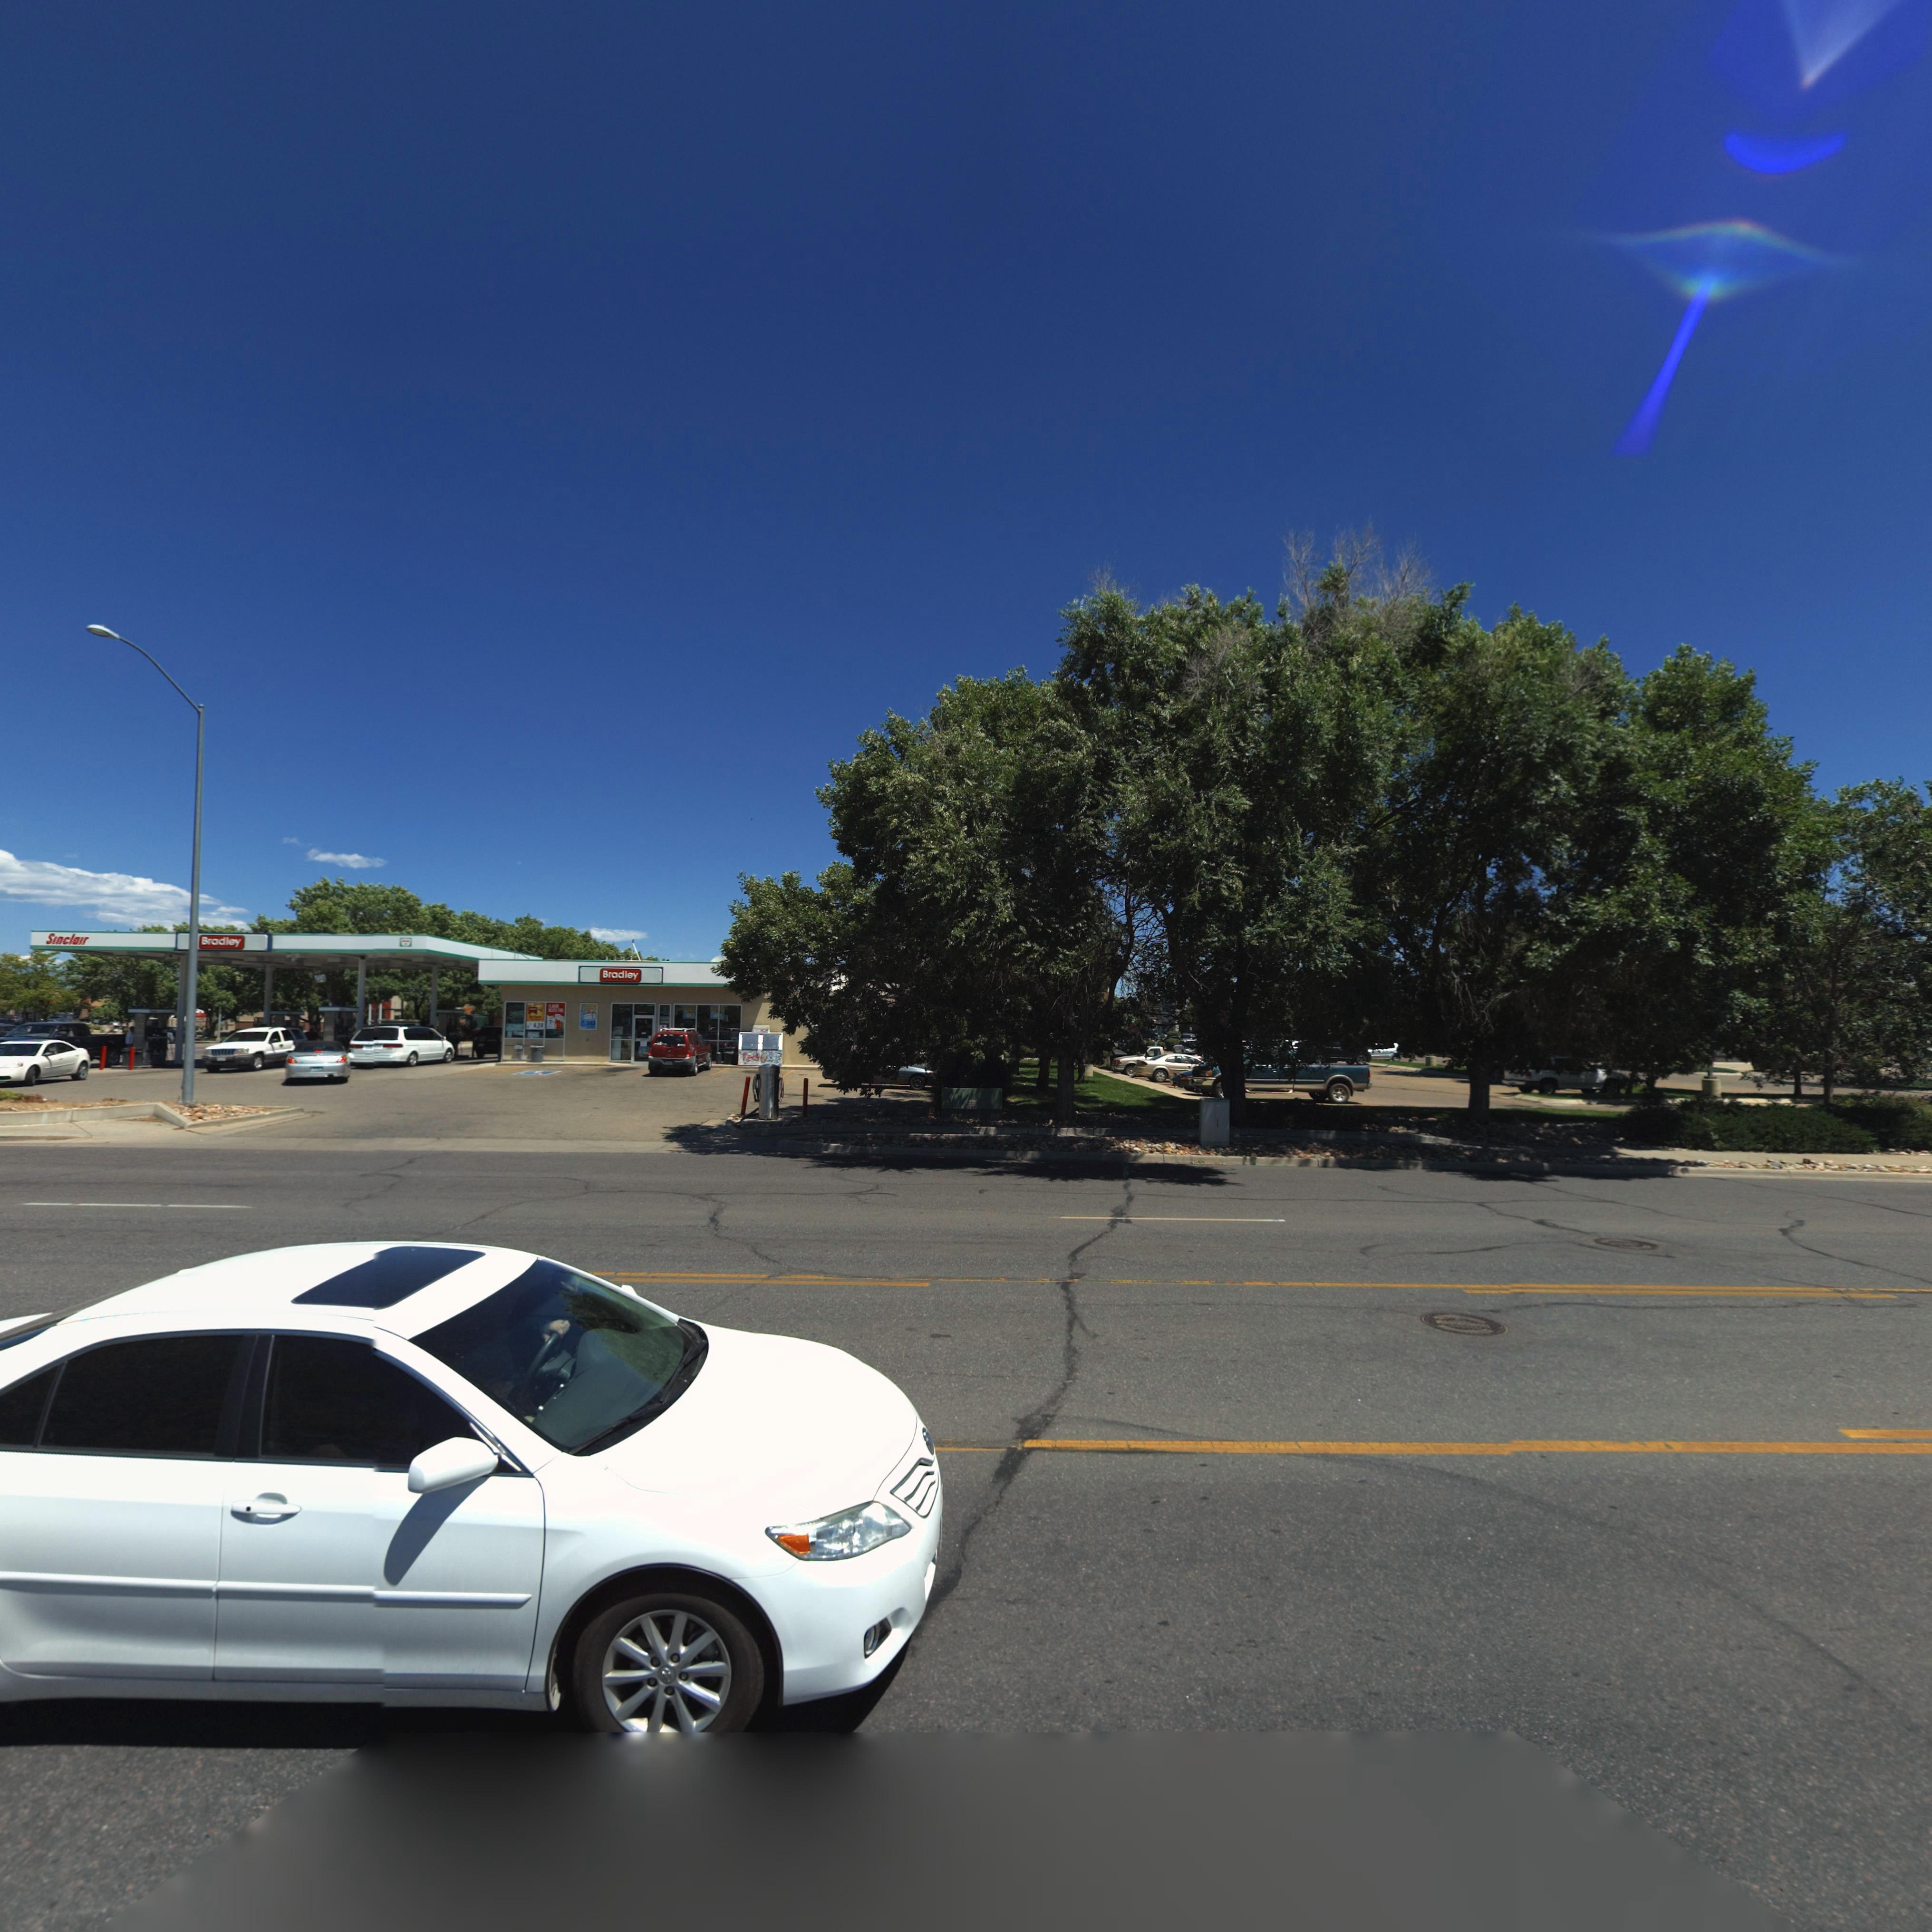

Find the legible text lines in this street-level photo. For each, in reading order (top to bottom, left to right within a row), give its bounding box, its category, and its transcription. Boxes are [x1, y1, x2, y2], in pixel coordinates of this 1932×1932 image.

[45, 933, 89, 945] BusinessName: Sinclair
[201, 936, 242, 948] BusinessName: Bradley
[602, 970, 640, 981] BusinessName: Bradley